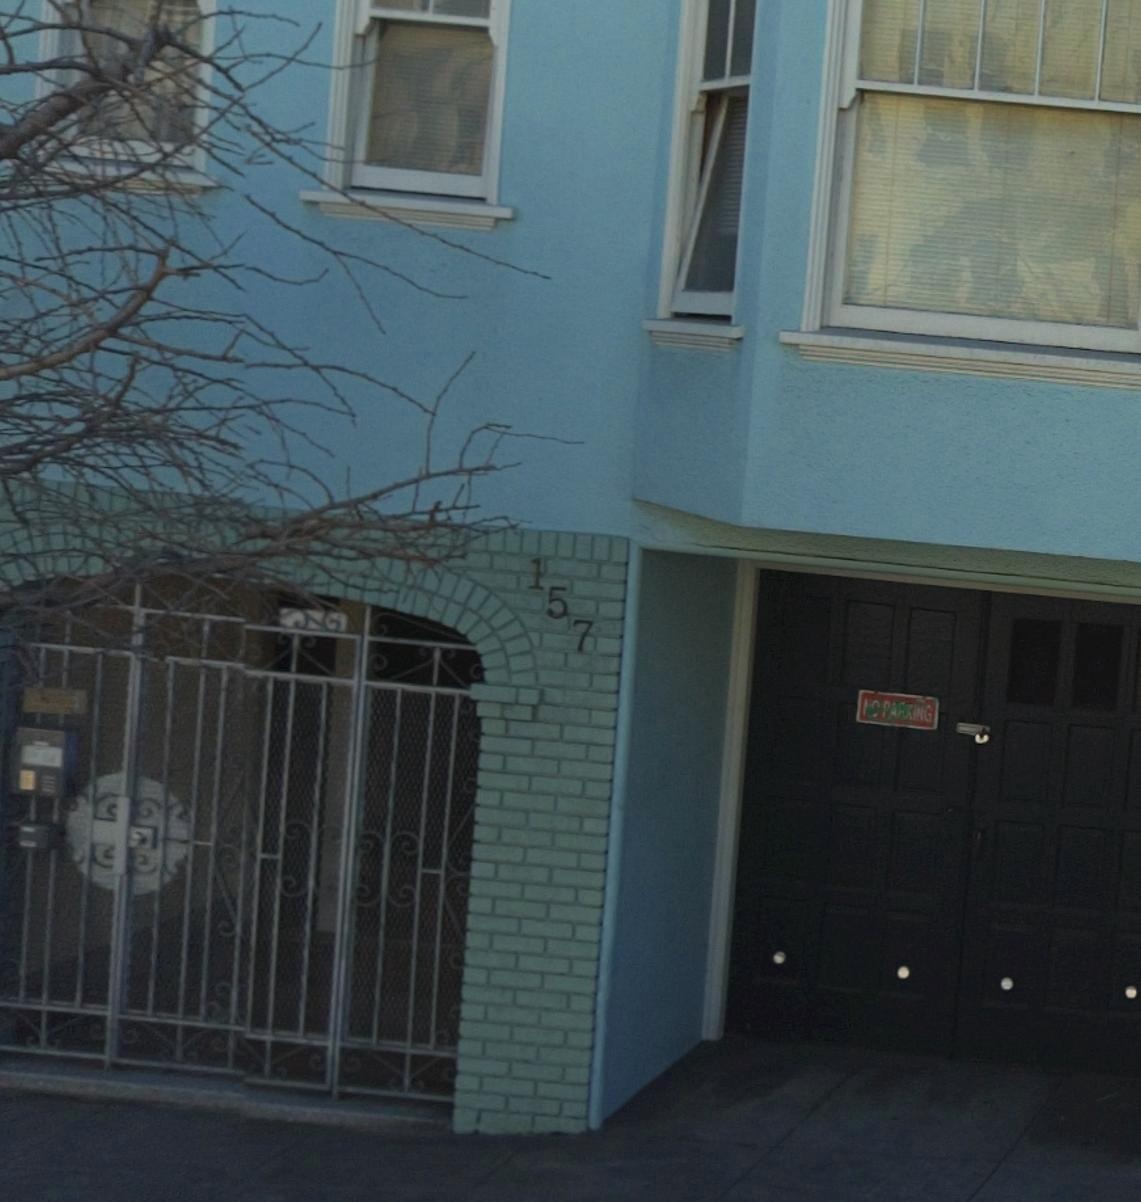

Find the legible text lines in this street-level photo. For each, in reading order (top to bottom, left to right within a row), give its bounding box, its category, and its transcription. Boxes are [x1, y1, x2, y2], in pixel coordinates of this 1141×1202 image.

[526, 554, 599, 654] StreetNumber: 157
[912, 702, 934, 724] None: ING